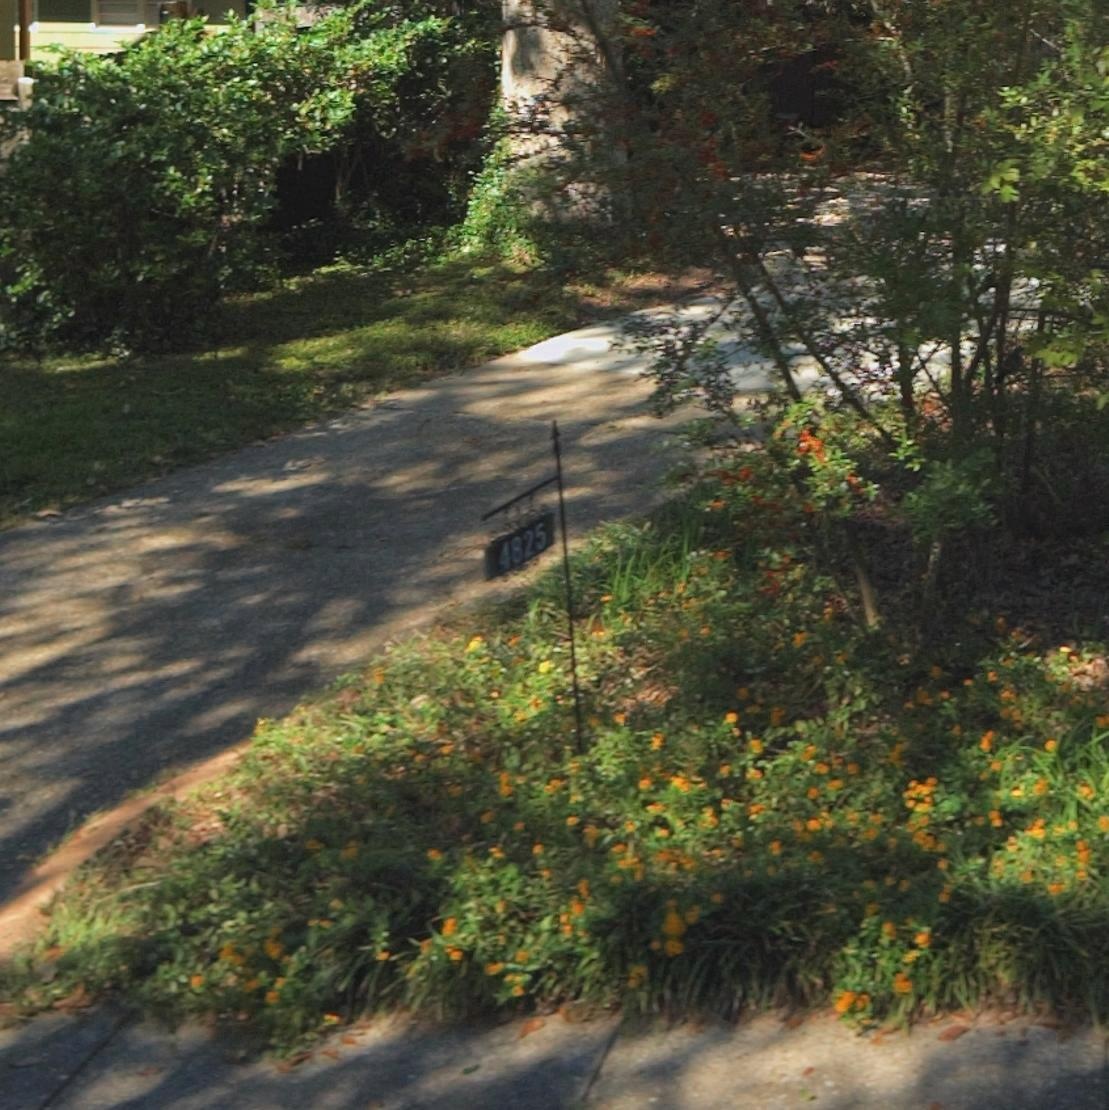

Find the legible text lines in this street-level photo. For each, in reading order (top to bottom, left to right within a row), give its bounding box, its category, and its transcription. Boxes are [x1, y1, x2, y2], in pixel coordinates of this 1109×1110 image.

[497, 519, 548, 575] StreetNumber: 4825